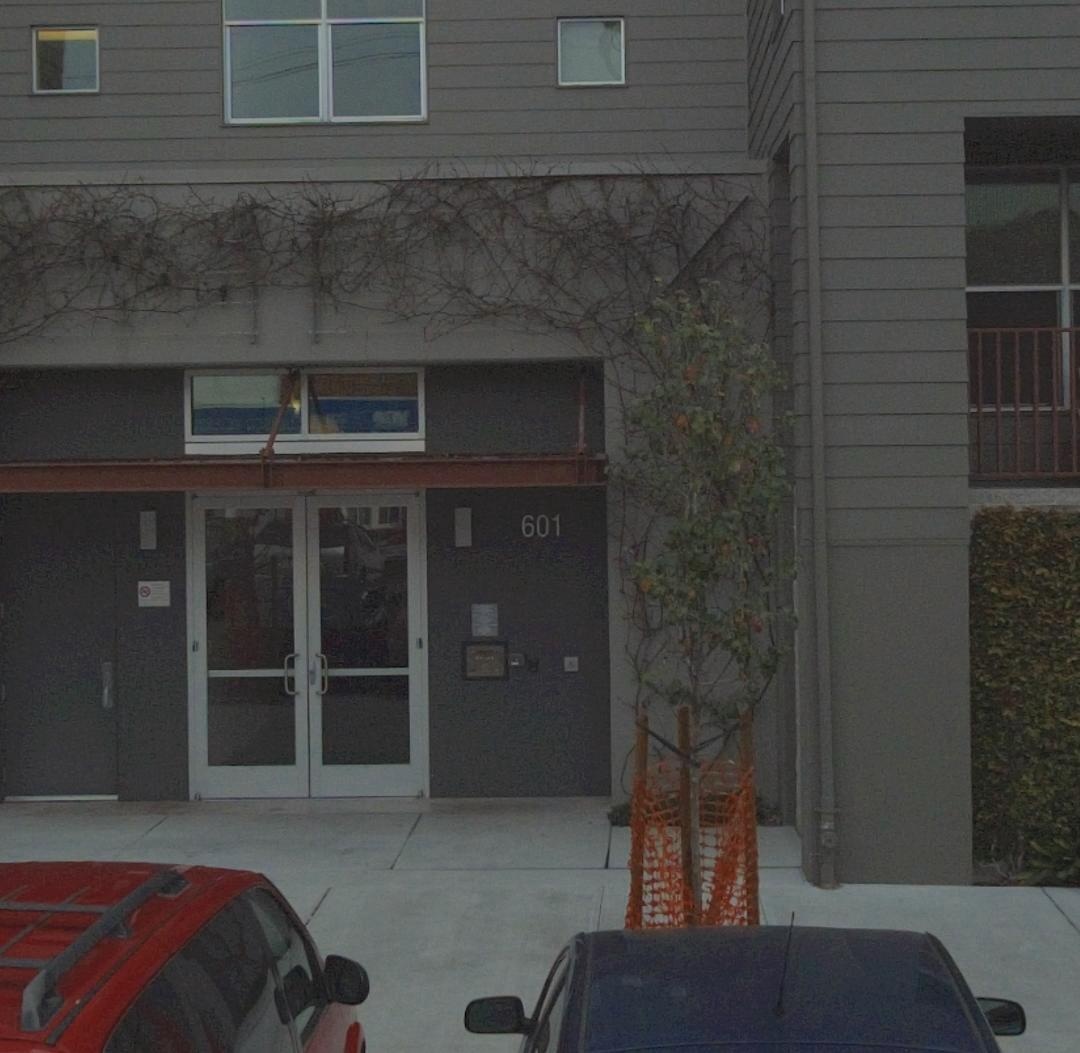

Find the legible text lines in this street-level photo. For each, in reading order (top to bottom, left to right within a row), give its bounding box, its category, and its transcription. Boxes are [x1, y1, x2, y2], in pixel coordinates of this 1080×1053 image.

[519, 512, 563, 539] StreetNumber: 601